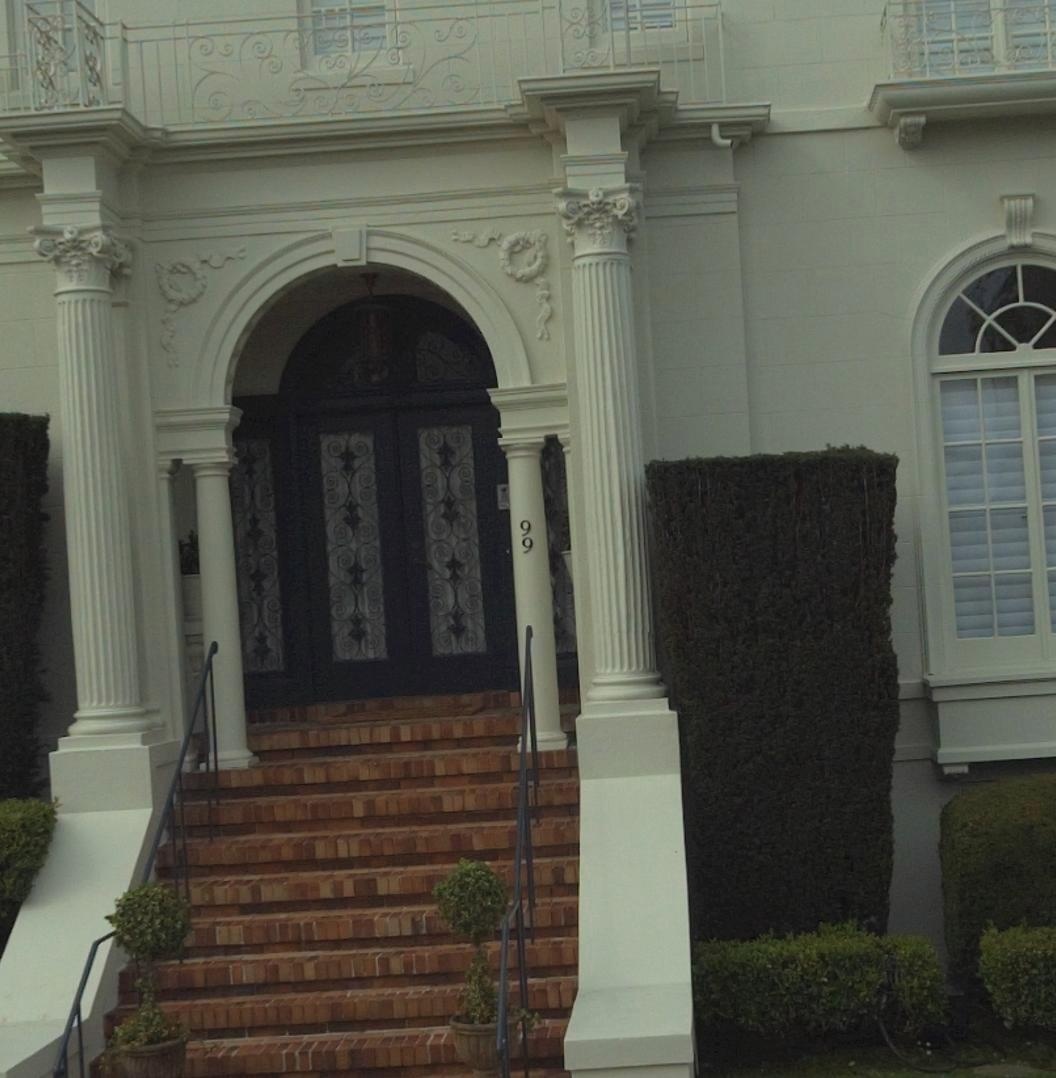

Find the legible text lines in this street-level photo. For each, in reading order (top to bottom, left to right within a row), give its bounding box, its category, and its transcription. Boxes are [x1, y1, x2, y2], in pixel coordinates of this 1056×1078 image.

[519, 519, 535, 555] StreetNumber: 99